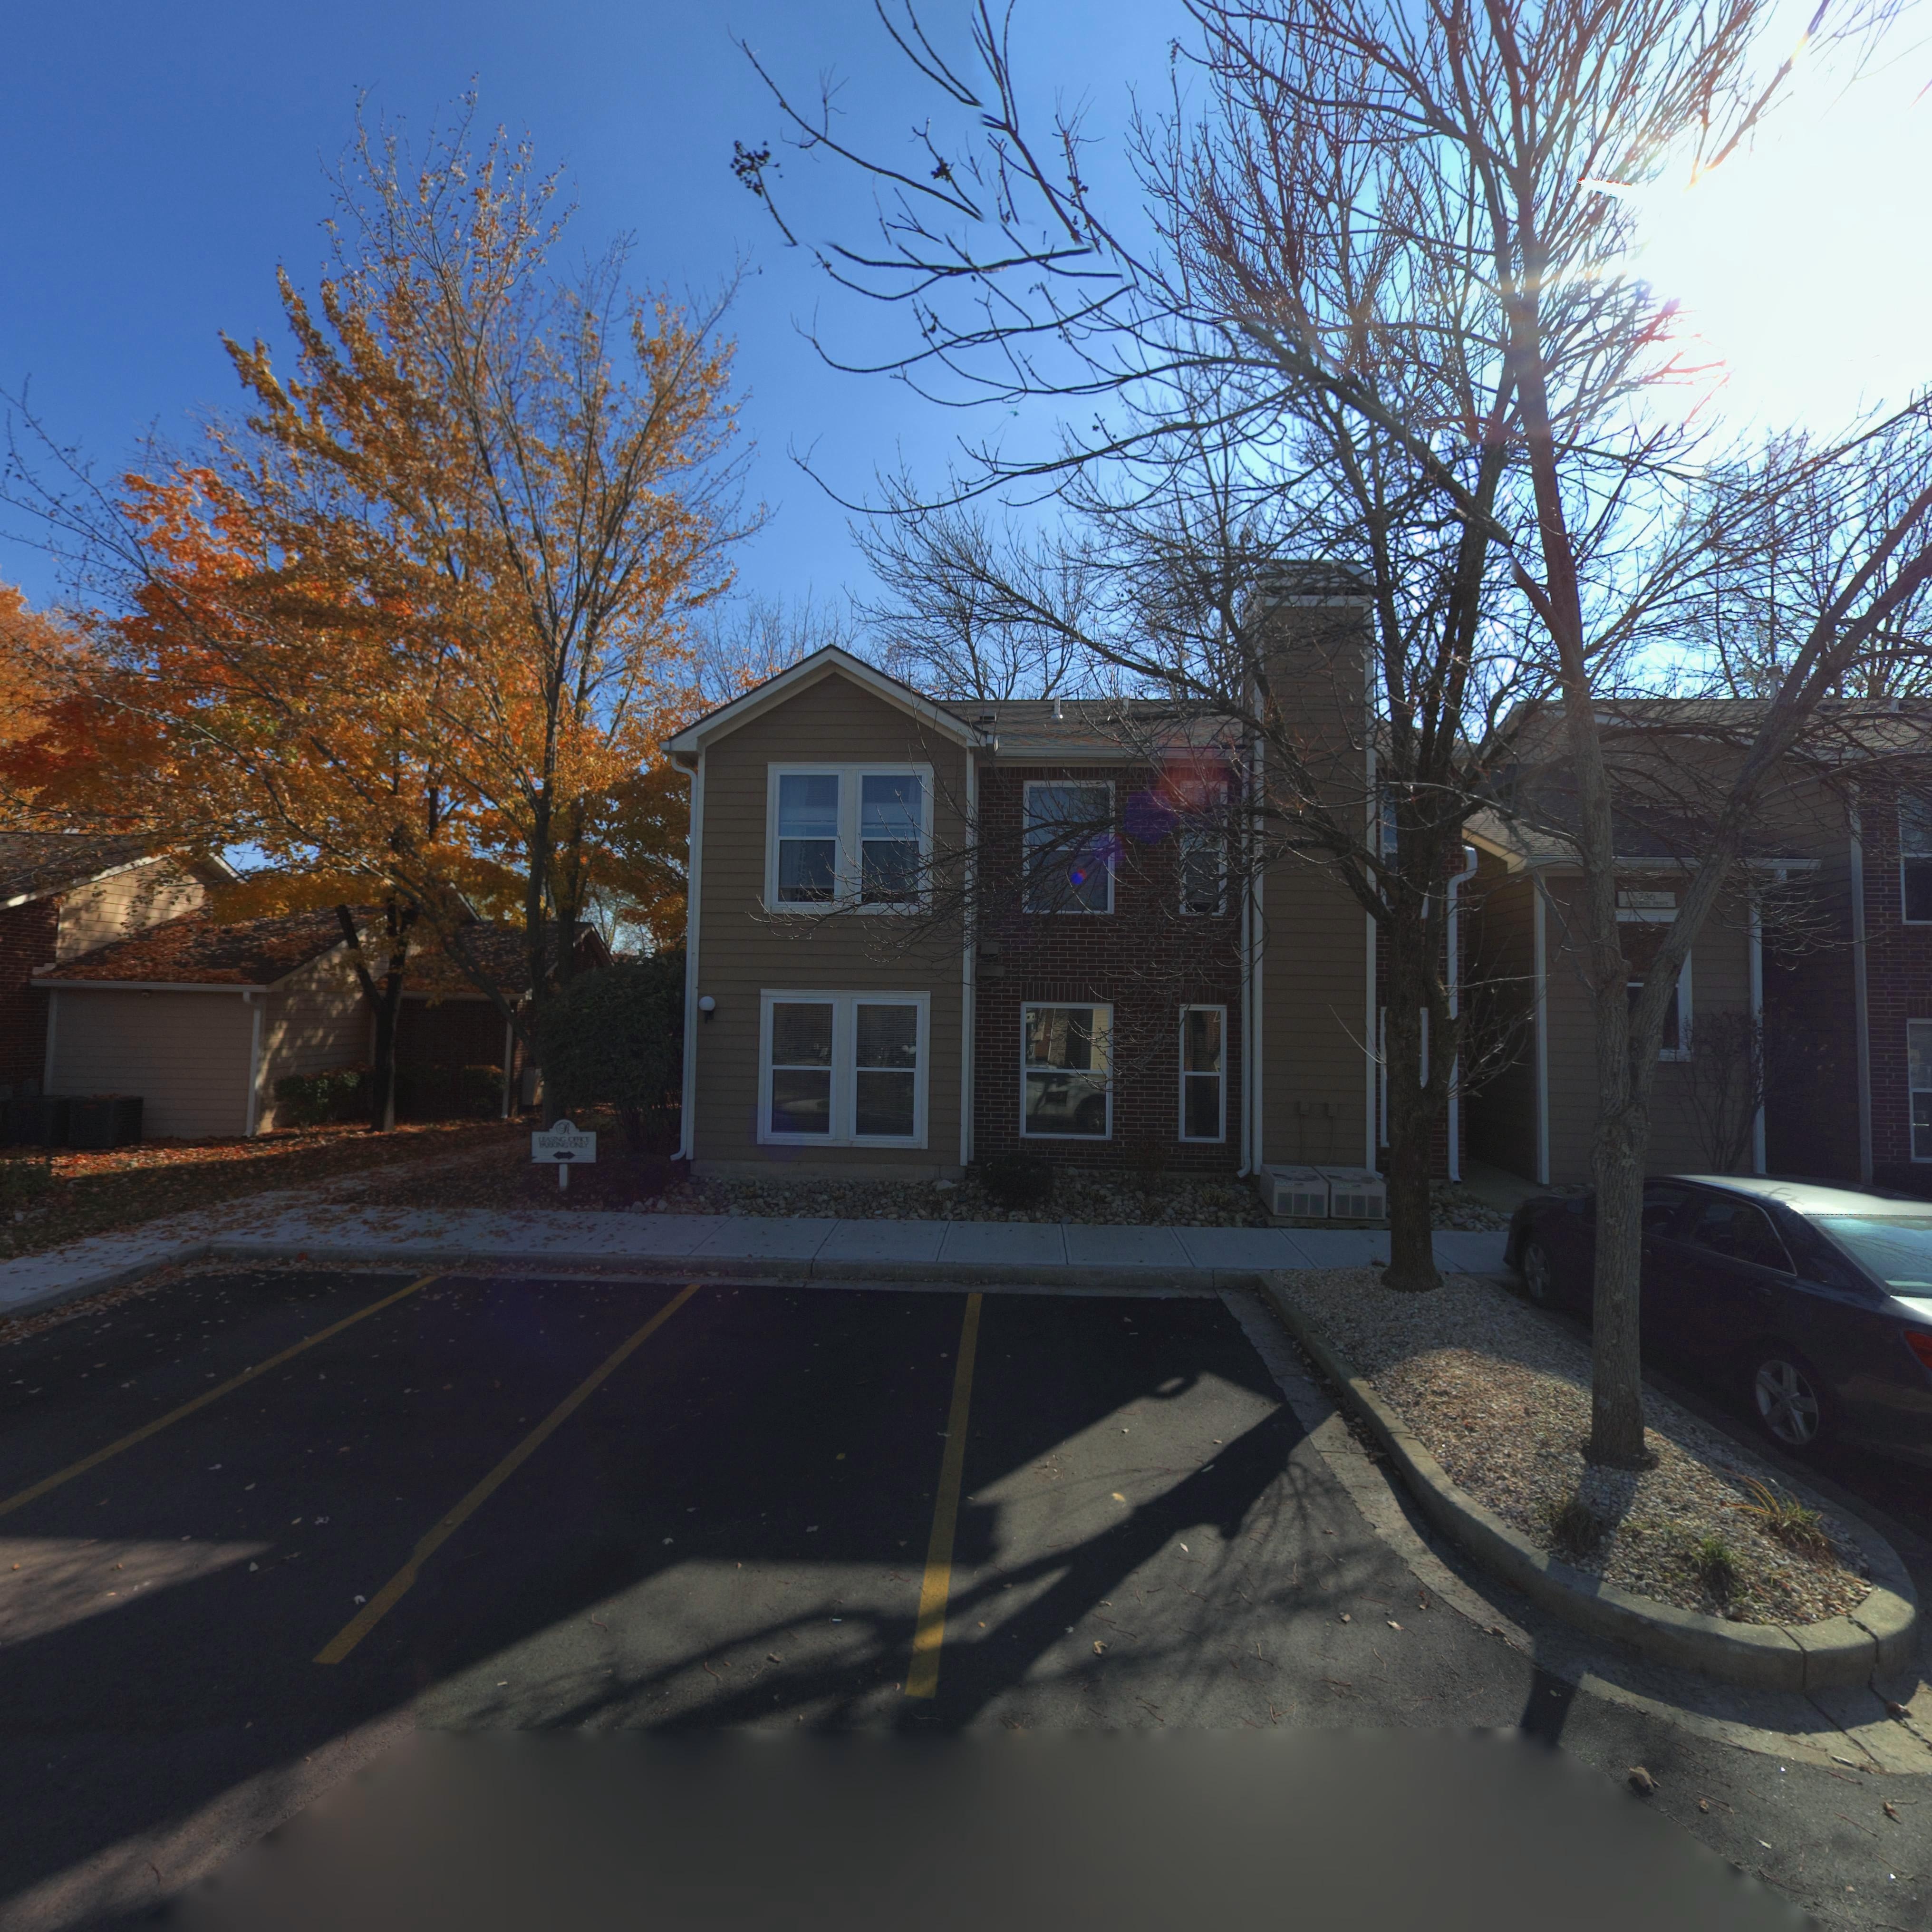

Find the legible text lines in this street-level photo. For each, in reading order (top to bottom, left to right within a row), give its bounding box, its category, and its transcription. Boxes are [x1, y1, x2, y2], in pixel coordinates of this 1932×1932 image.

[538, 1136, 590, 1142] None: LEASING OFFICE
[538, 1141, 589, 1148] None: PARKING ONLY